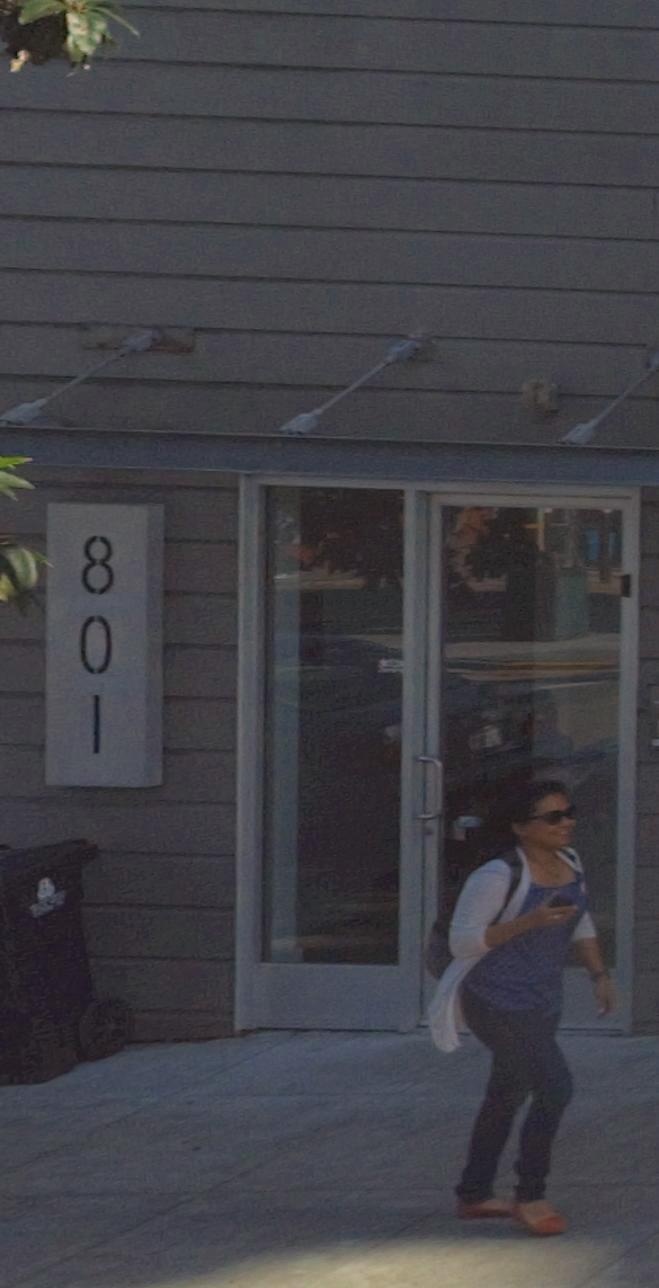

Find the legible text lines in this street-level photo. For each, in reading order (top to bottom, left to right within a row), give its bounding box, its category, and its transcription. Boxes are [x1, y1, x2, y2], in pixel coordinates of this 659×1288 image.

[78, 528, 119, 760] StreetNumber: 801